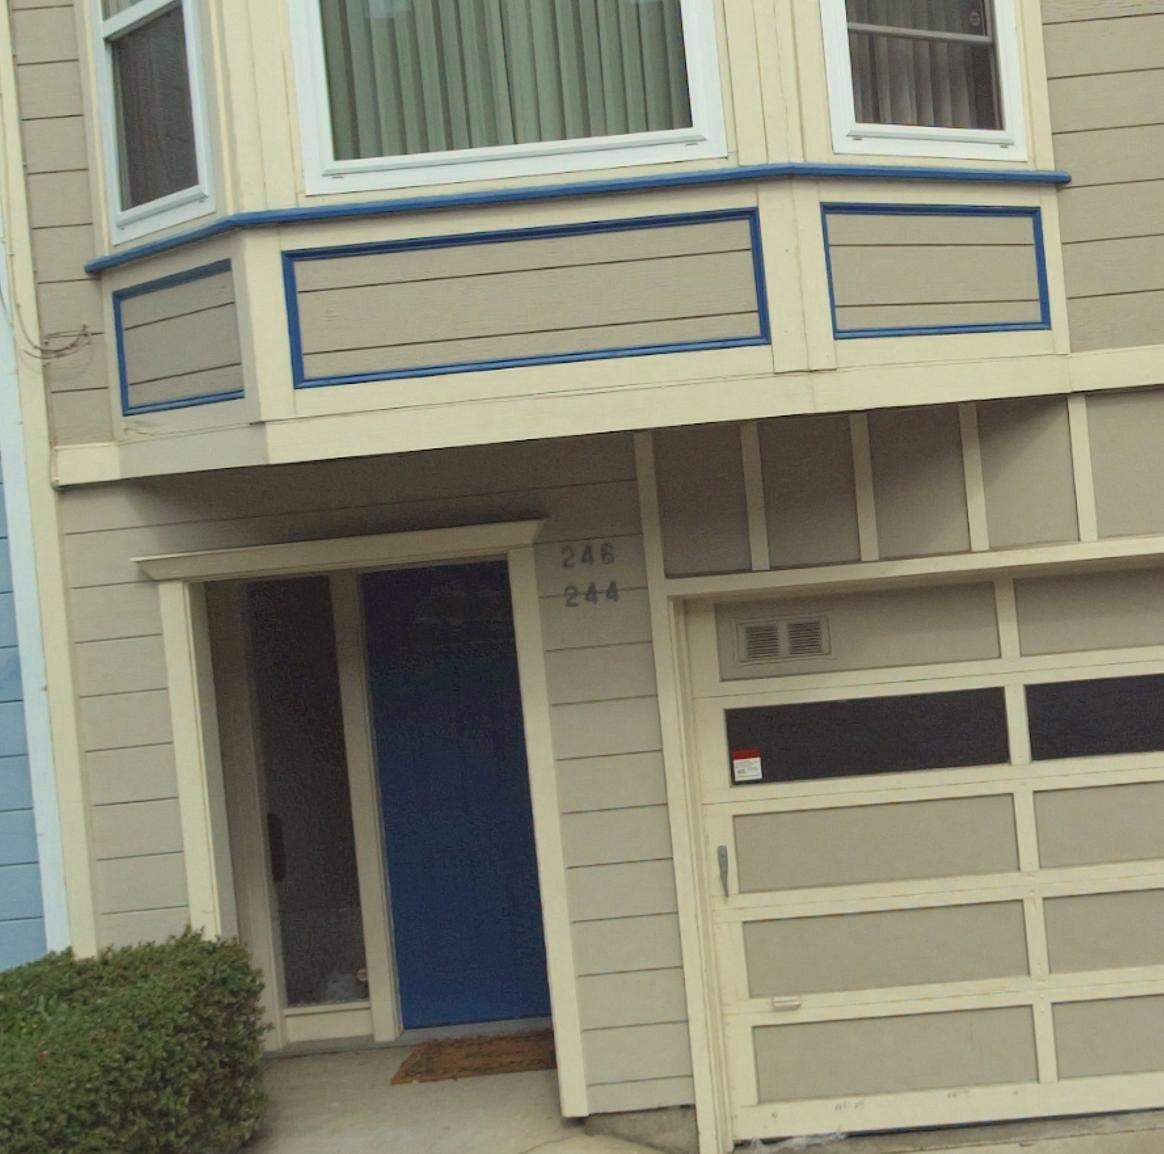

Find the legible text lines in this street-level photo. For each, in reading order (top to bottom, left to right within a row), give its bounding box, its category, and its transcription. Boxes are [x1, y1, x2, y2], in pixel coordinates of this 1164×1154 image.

[556, 537, 619, 573] StreetNumber: 246
[560, 576, 624, 611] StreetNumber: 244